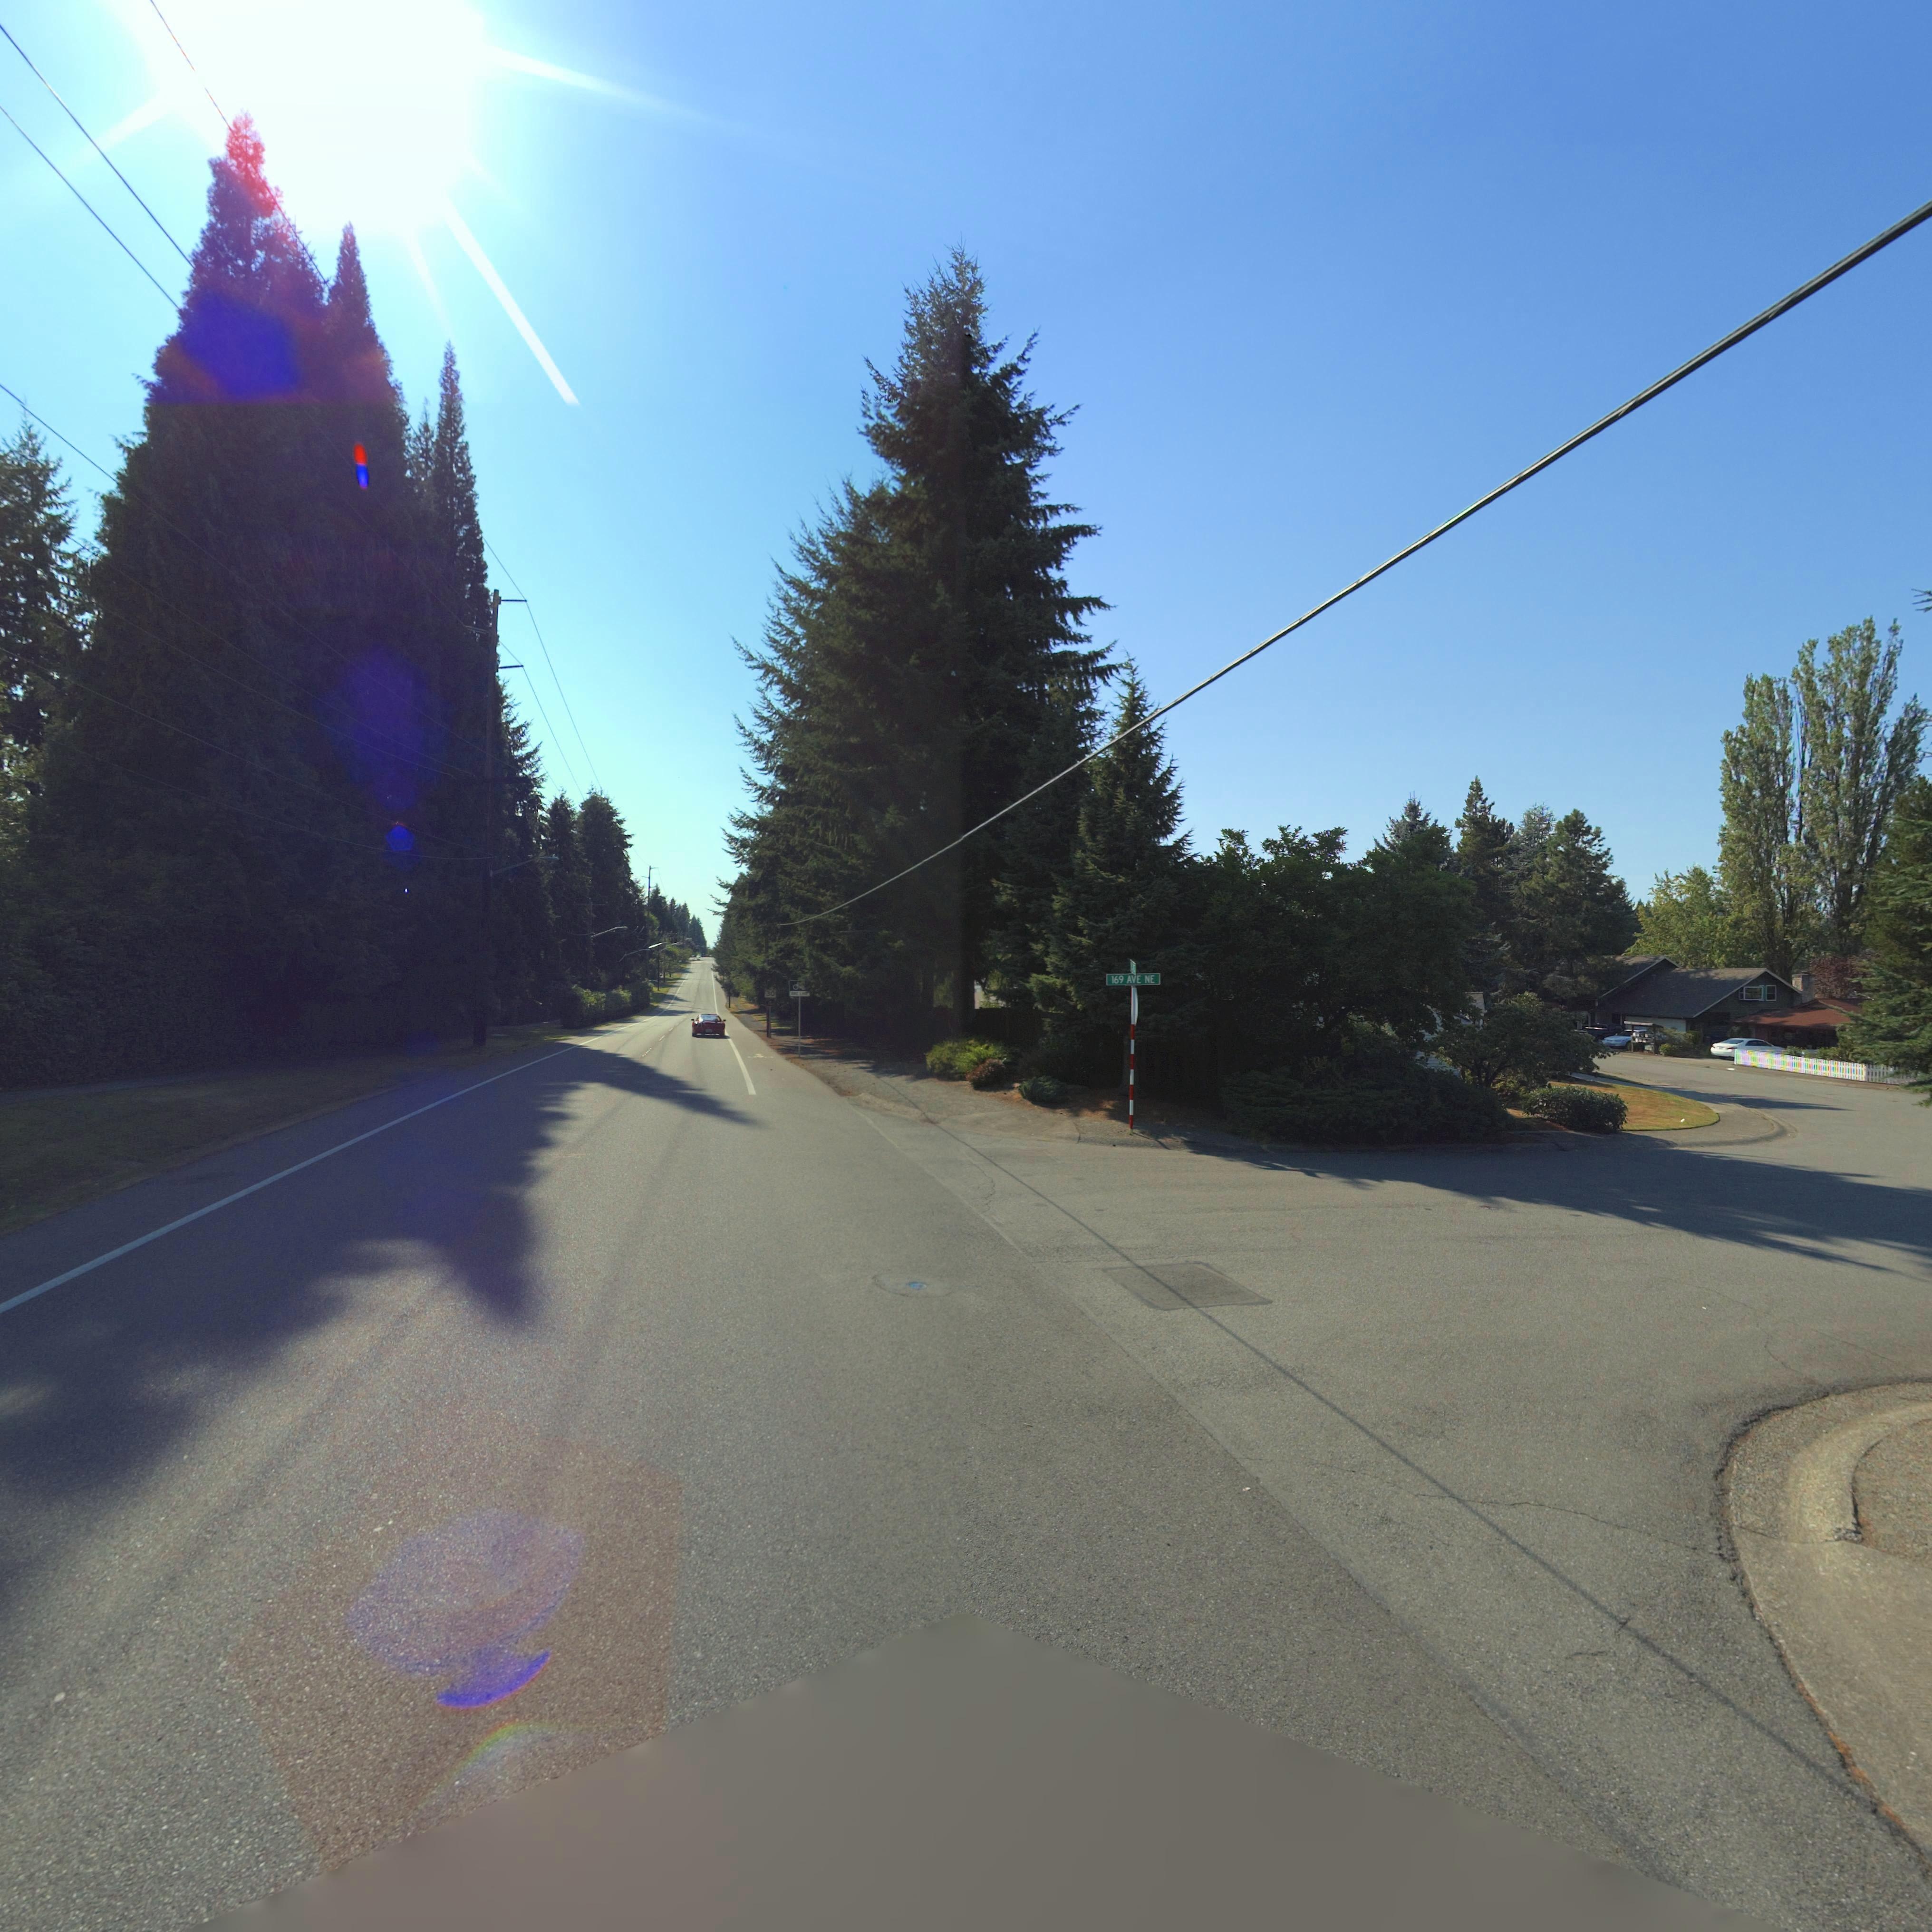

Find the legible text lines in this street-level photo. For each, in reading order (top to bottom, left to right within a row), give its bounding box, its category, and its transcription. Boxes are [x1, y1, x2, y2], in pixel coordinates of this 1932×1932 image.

[1111, 976, 1154, 983] StreetName: 169 AVE NE